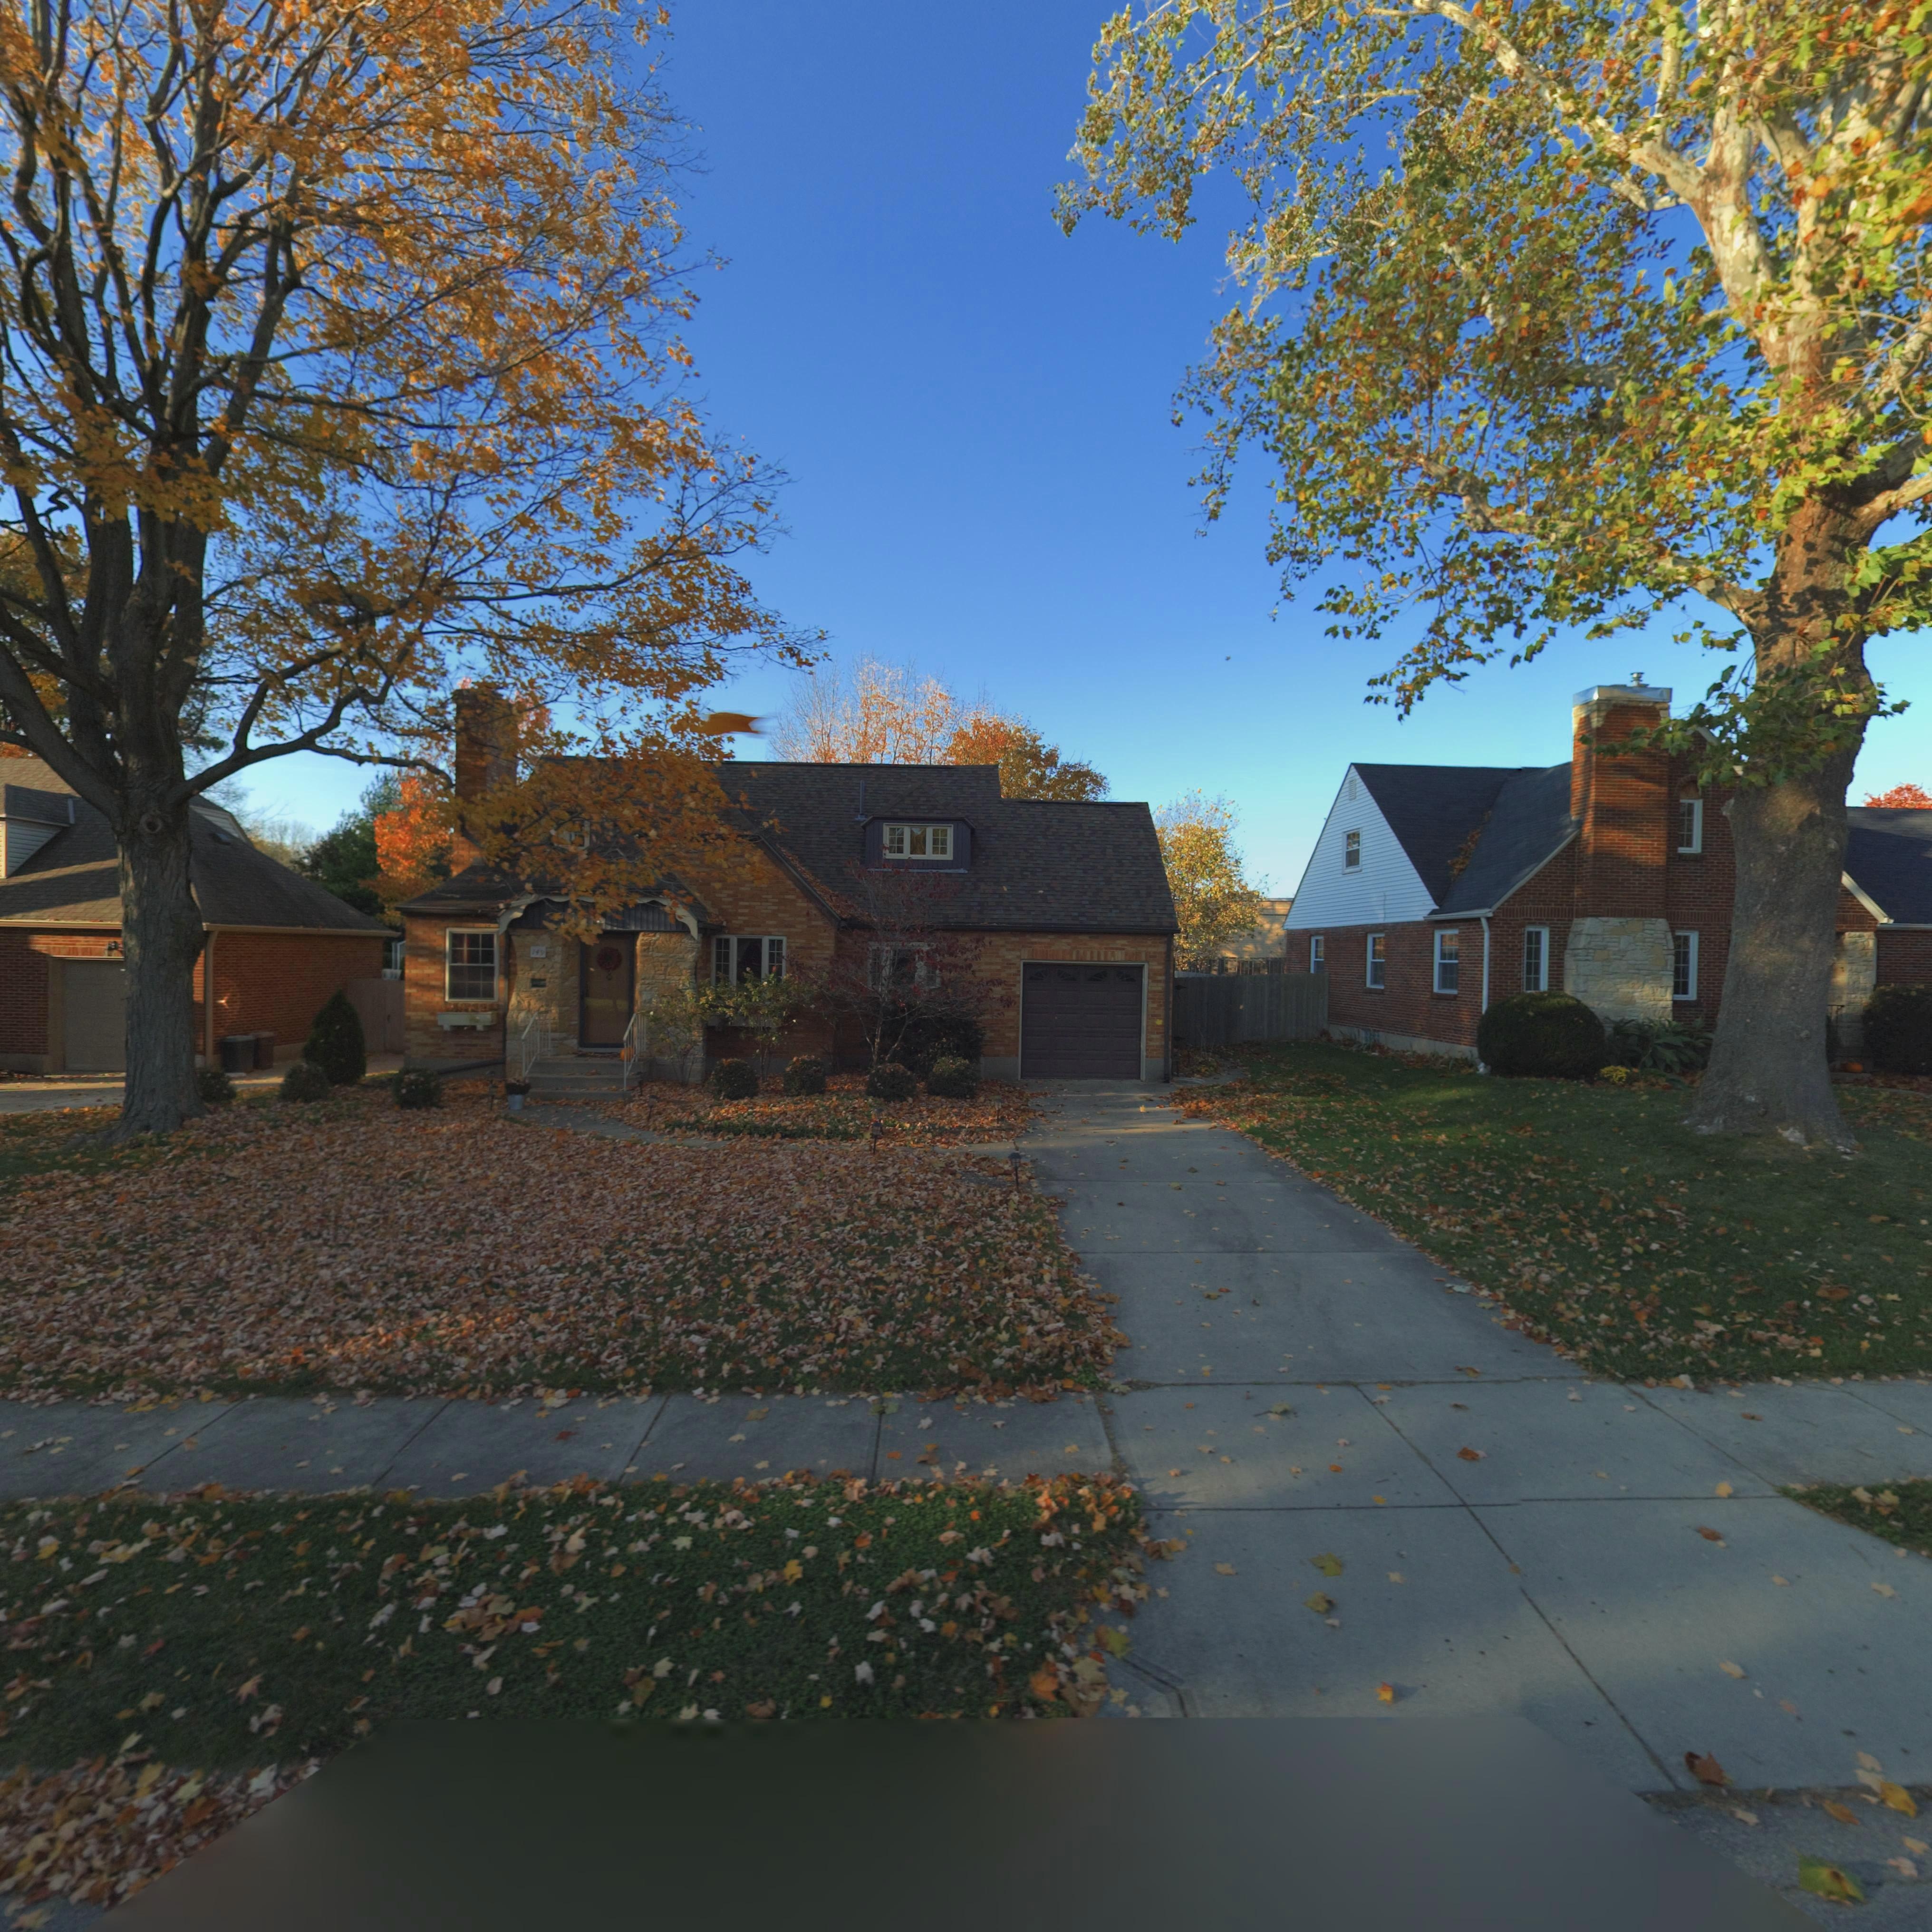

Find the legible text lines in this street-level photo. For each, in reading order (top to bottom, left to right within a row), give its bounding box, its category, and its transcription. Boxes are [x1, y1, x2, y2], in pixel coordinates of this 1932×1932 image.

[531, 948, 546, 956] StreetNumber: 149